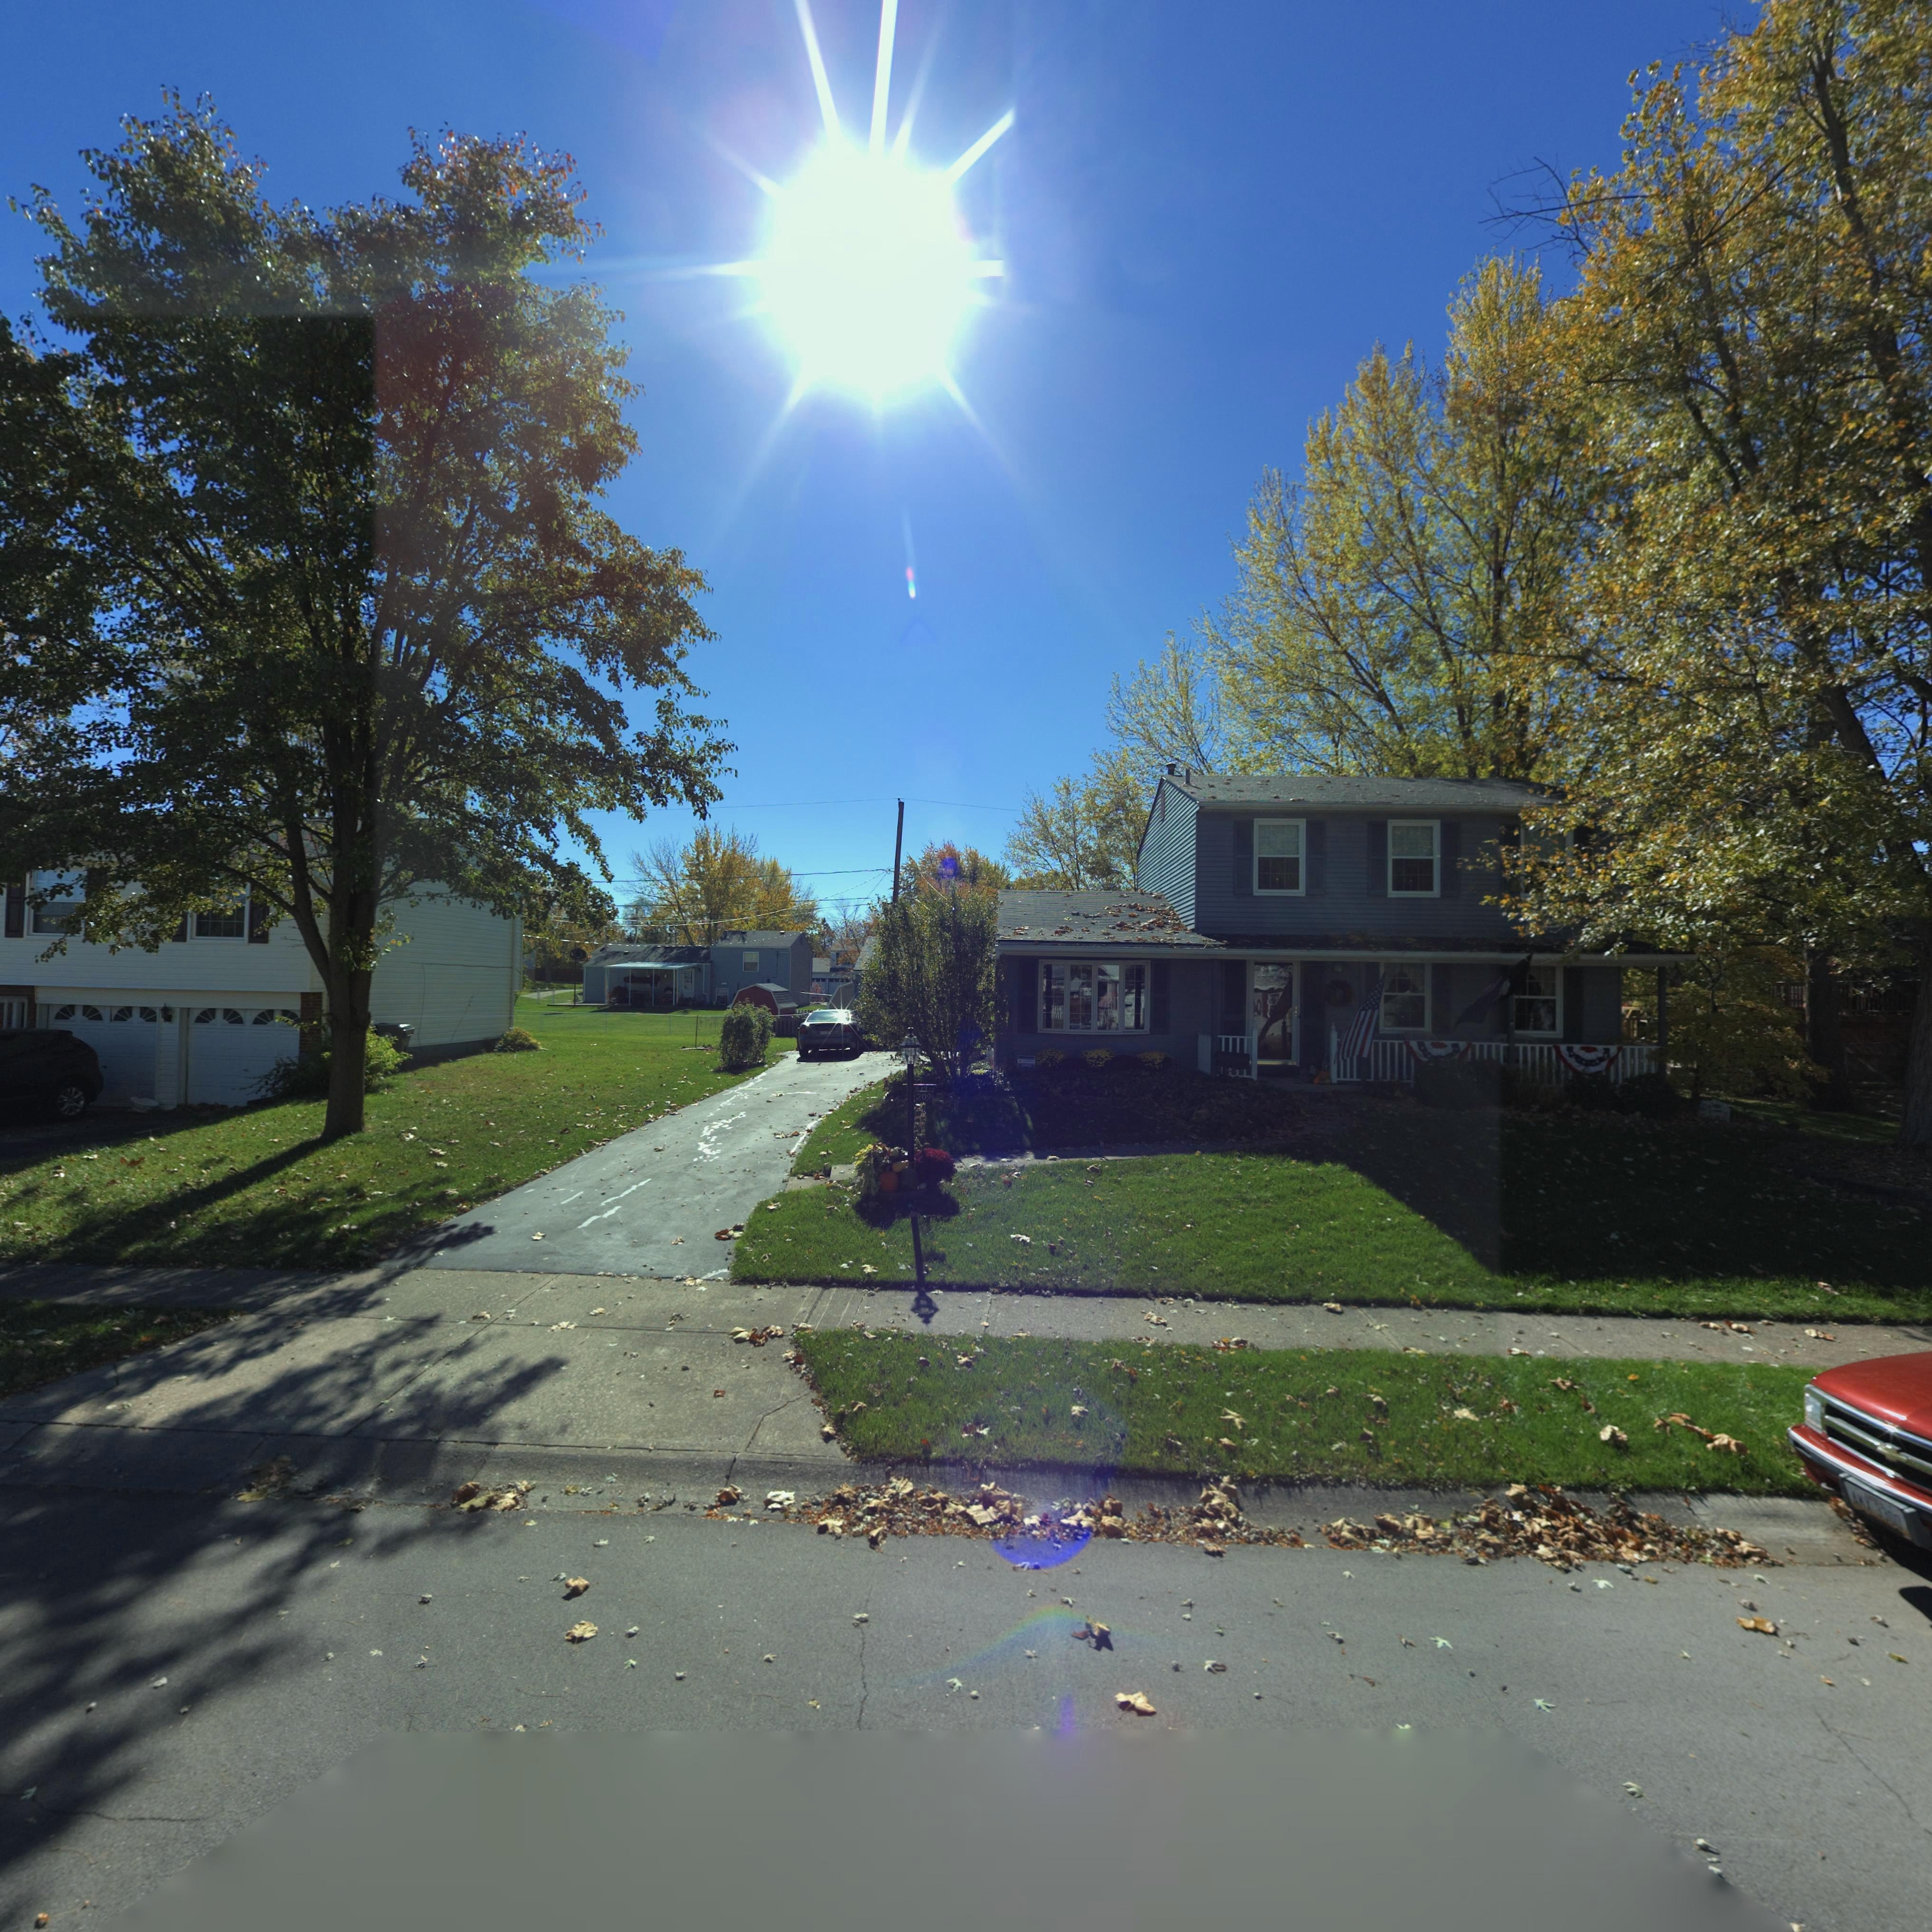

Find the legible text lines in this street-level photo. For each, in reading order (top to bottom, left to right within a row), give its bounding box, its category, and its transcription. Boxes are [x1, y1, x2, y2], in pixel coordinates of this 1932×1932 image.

[915, 1092, 932, 1102] StreetNumber: 209